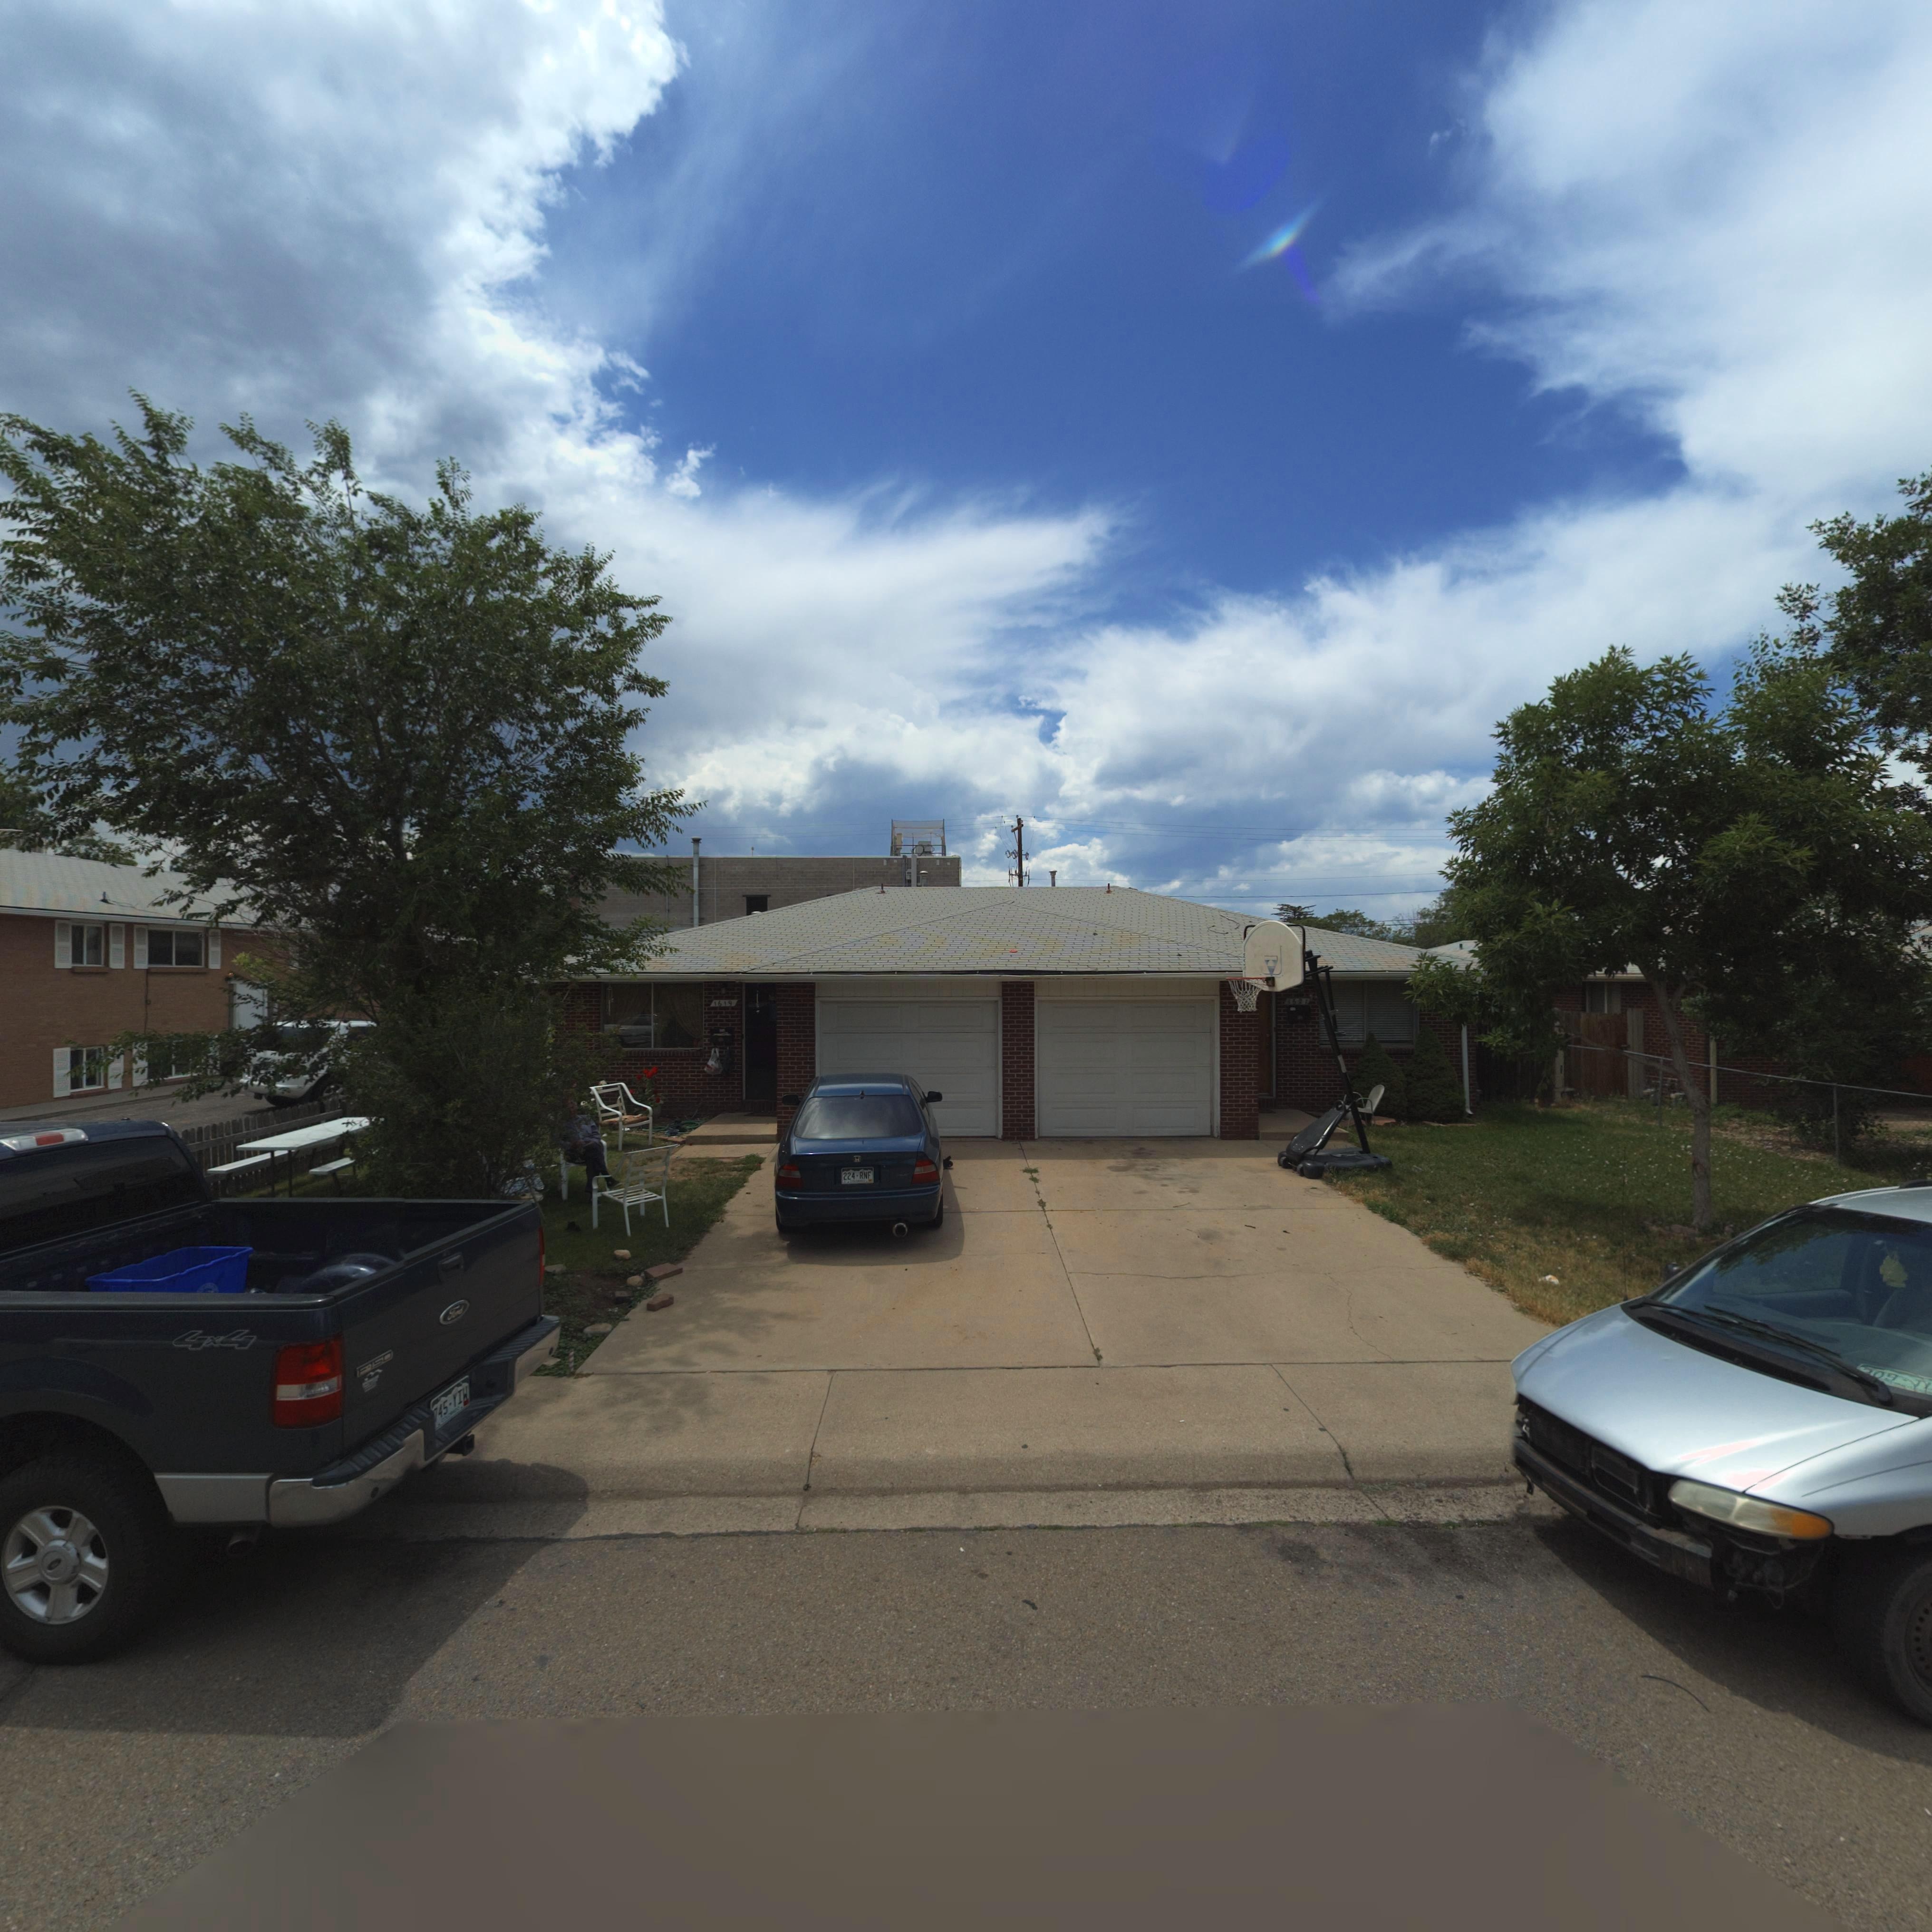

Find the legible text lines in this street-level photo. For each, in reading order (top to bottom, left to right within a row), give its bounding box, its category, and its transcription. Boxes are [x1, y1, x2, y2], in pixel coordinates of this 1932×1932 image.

[713, 1000, 733, 1007] StreetNumber: 1619
[1286, 998, 1309, 1005] StreetNumber: 1621